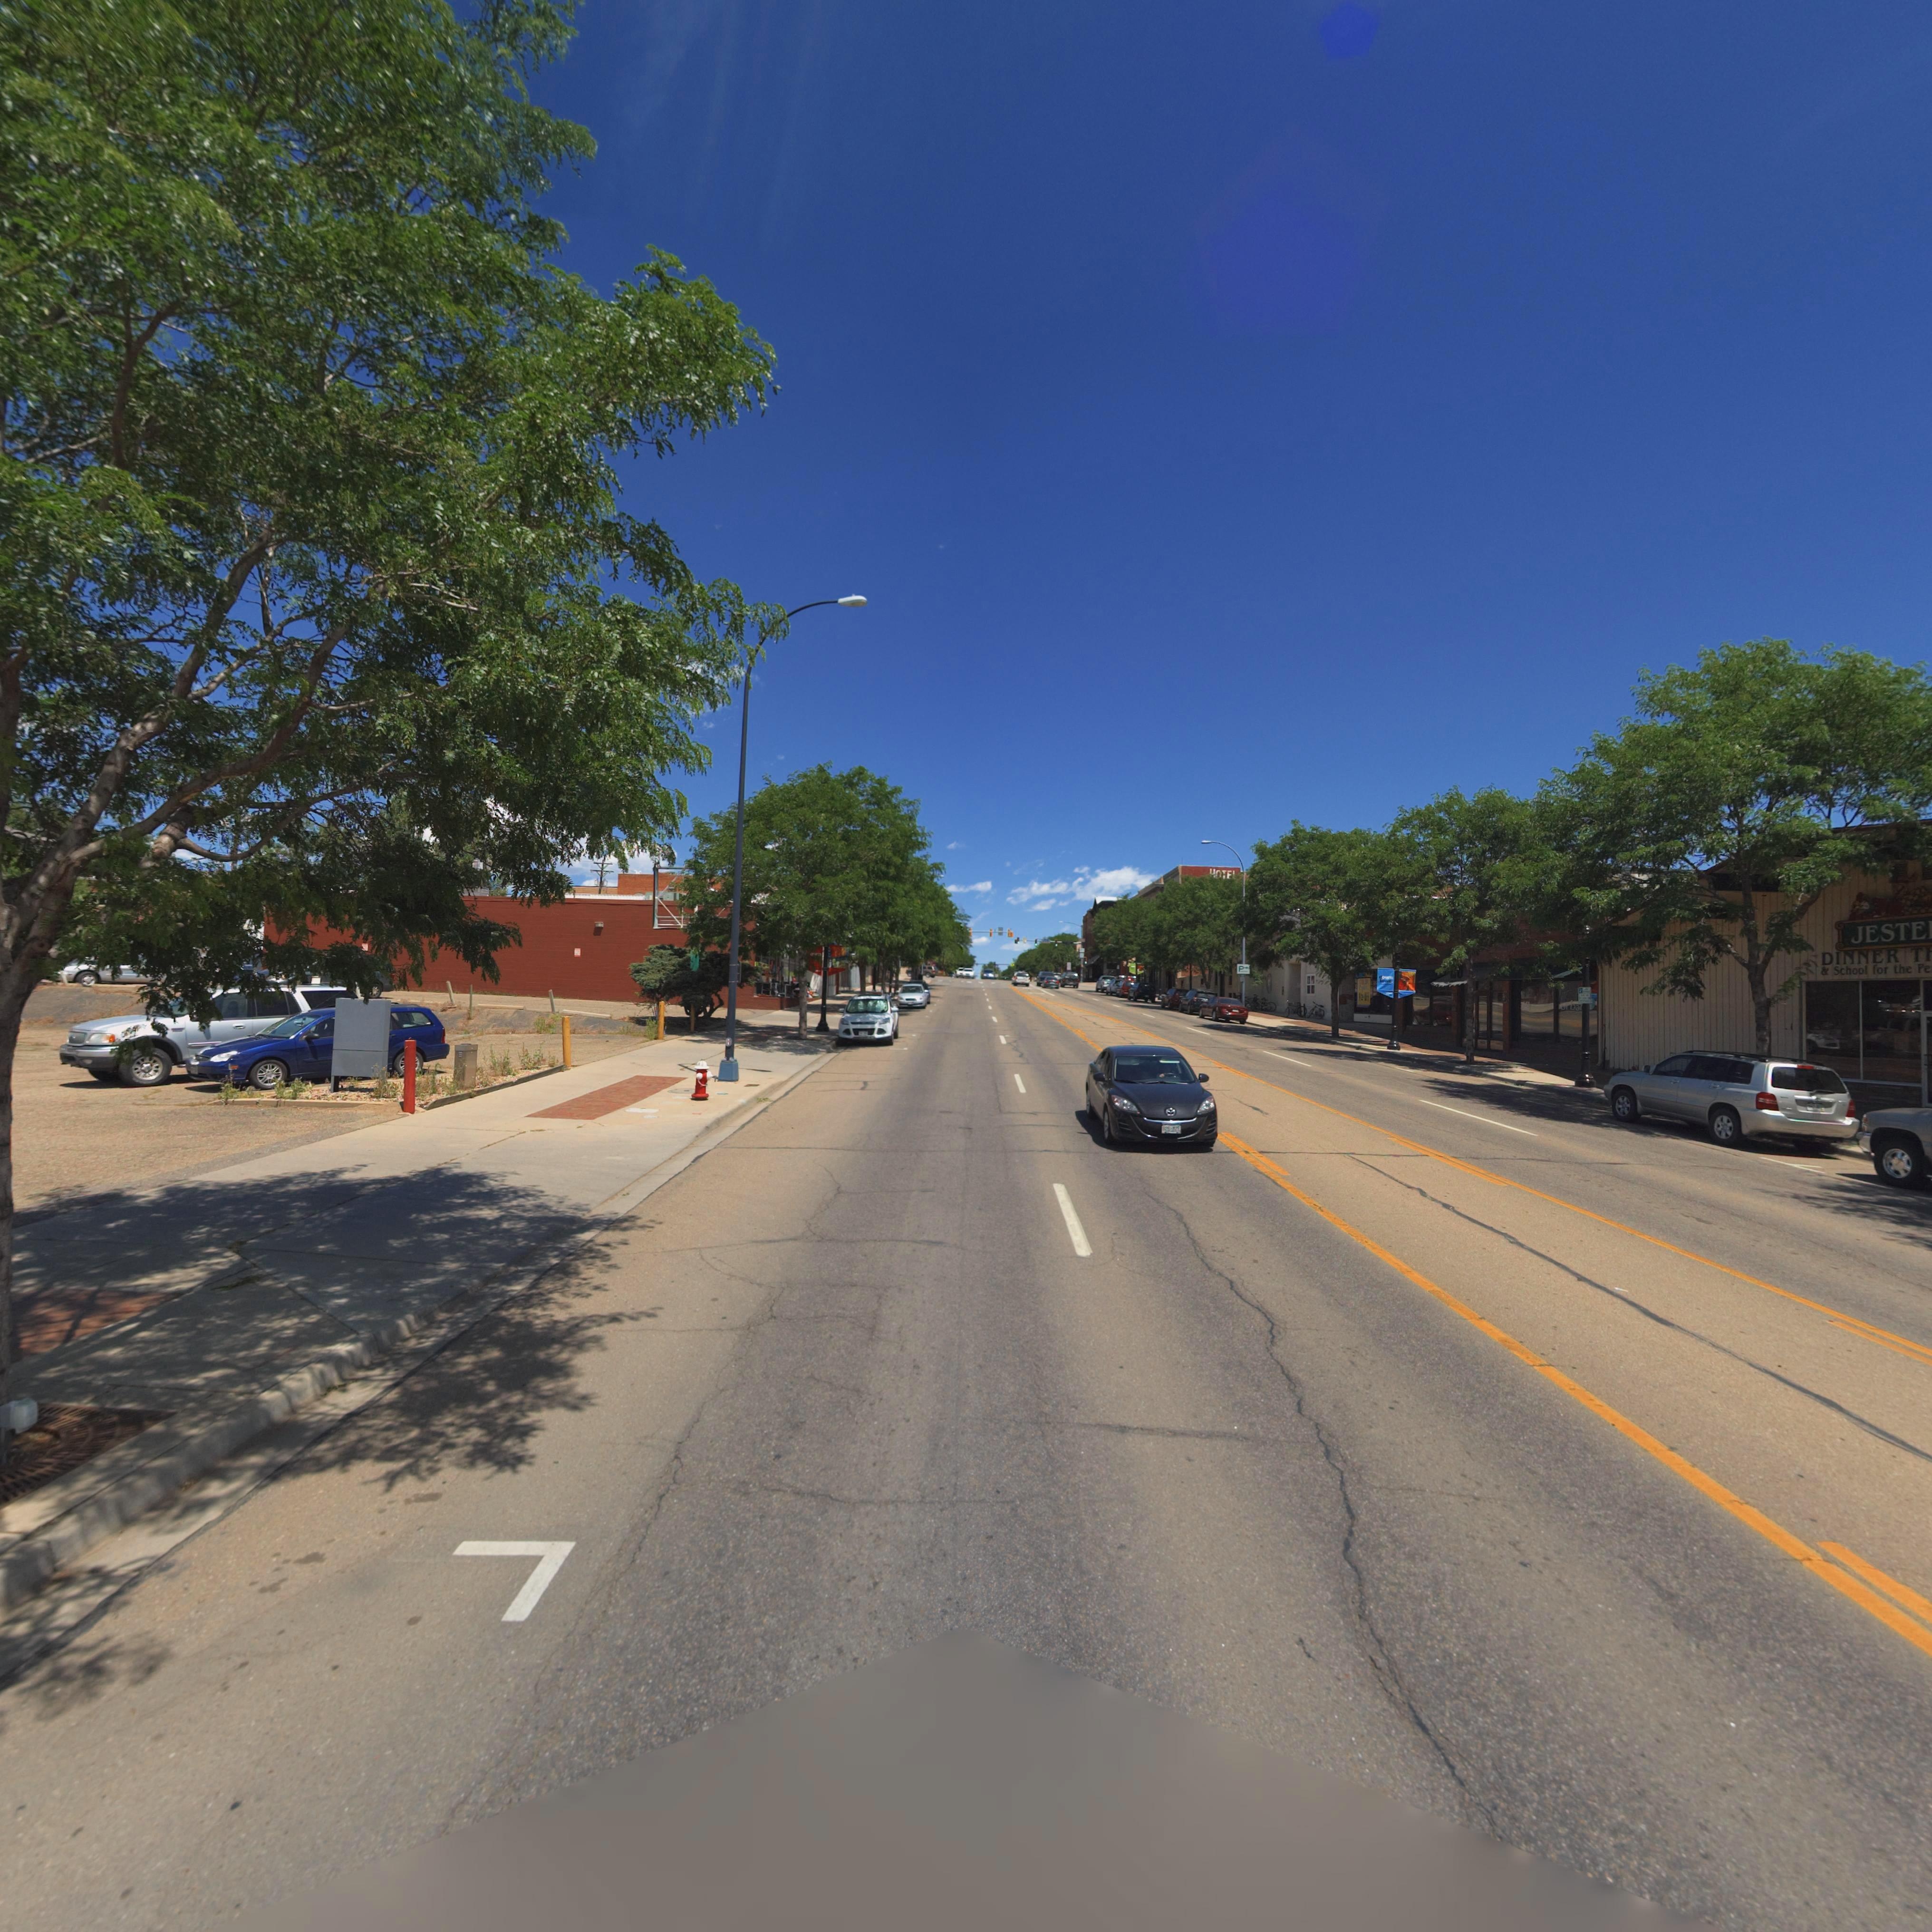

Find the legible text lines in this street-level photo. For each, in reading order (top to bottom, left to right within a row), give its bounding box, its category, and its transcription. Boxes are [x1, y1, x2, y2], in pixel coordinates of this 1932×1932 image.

[1850, 920, 1928, 945] BusinessName: JESTE
[1821, 946, 1924, 966] BusinessName: DINNER T
[1820, 962, 1931, 976] BusinessName: & School for the Pe